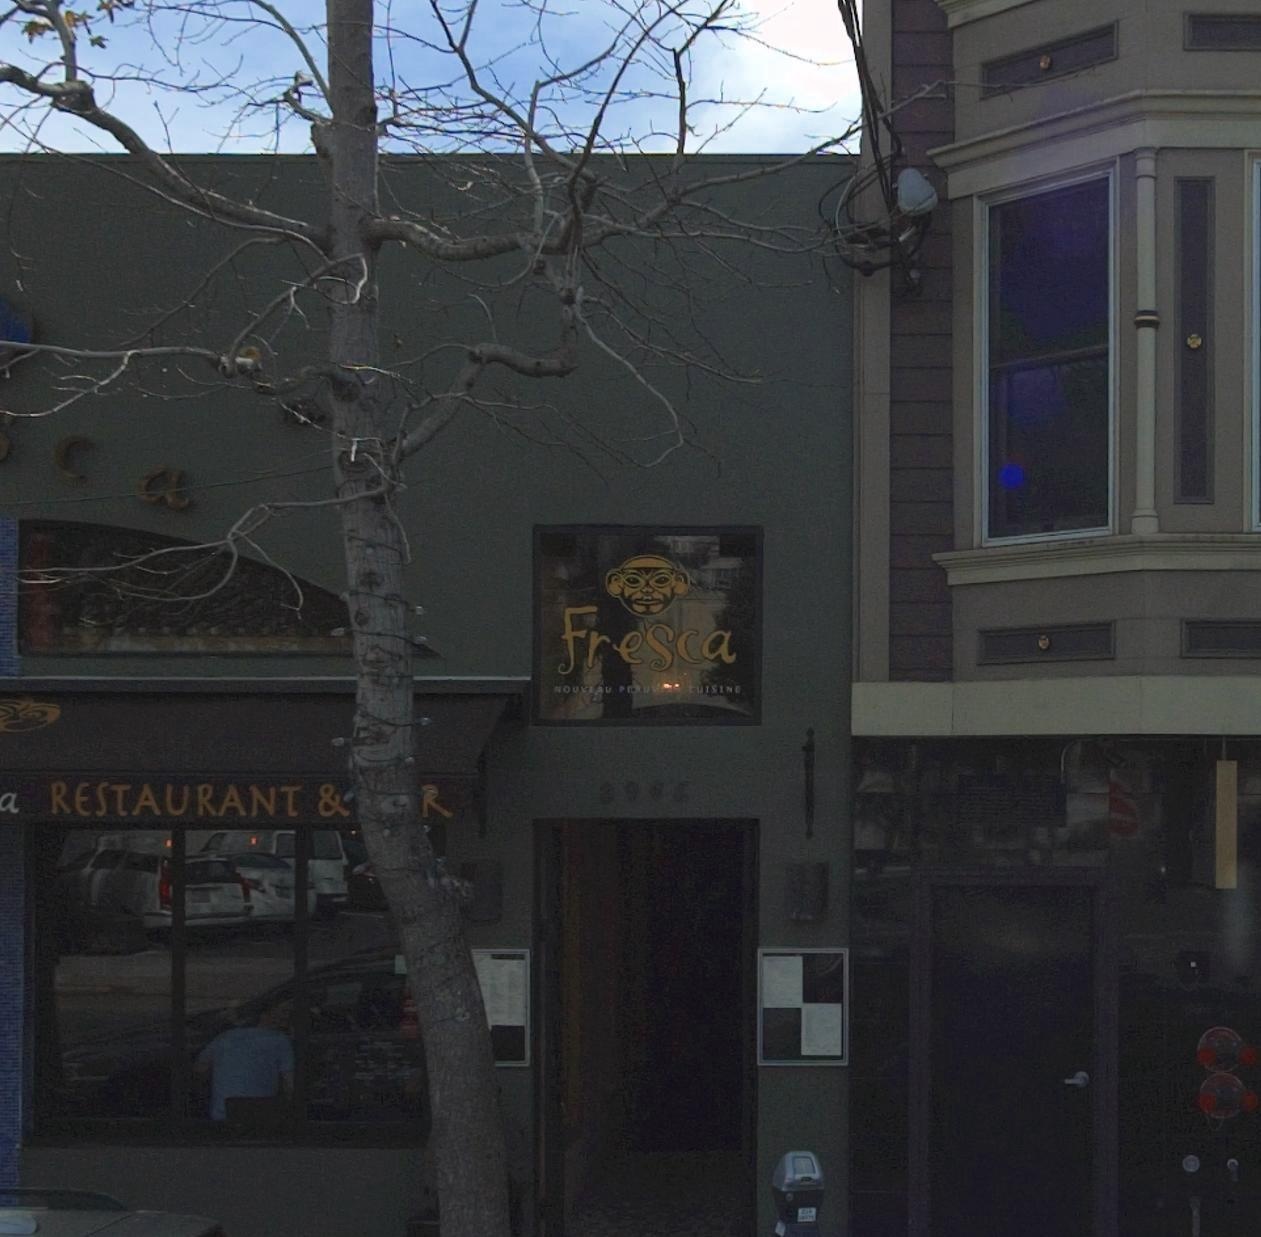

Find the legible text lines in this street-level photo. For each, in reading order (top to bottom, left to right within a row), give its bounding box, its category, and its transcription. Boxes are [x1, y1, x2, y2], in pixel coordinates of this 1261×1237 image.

[51, 427, 193, 517] BusinessName: ca
[556, 602, 738, 676] BusinessName: Fresca
[551, 683, 614, 697] None: NOUVEAU
[686, 681, 744, 696] None: CUISINE
[44, 779, 459, 821] None: RESTAURANT & R
[598, 778, 692, 809] StreetNumber: 39*6